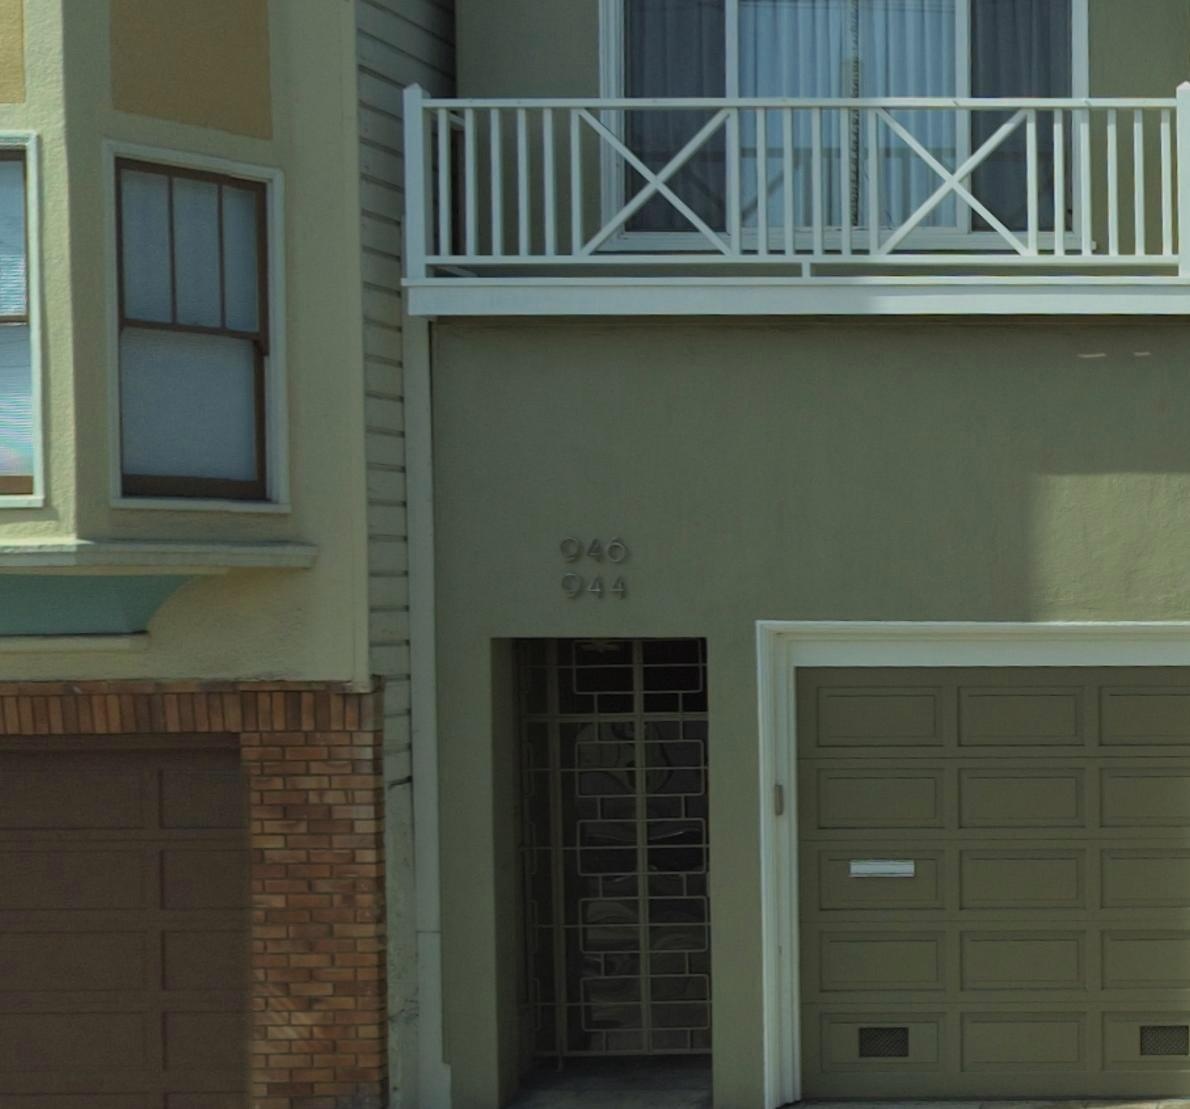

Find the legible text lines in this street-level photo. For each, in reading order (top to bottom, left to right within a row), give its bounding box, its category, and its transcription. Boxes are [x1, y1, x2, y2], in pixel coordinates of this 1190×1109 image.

[558, 534, 628, 566] StreetNumber: 946
[558, 570, 627, 601] StreetNumber: 944